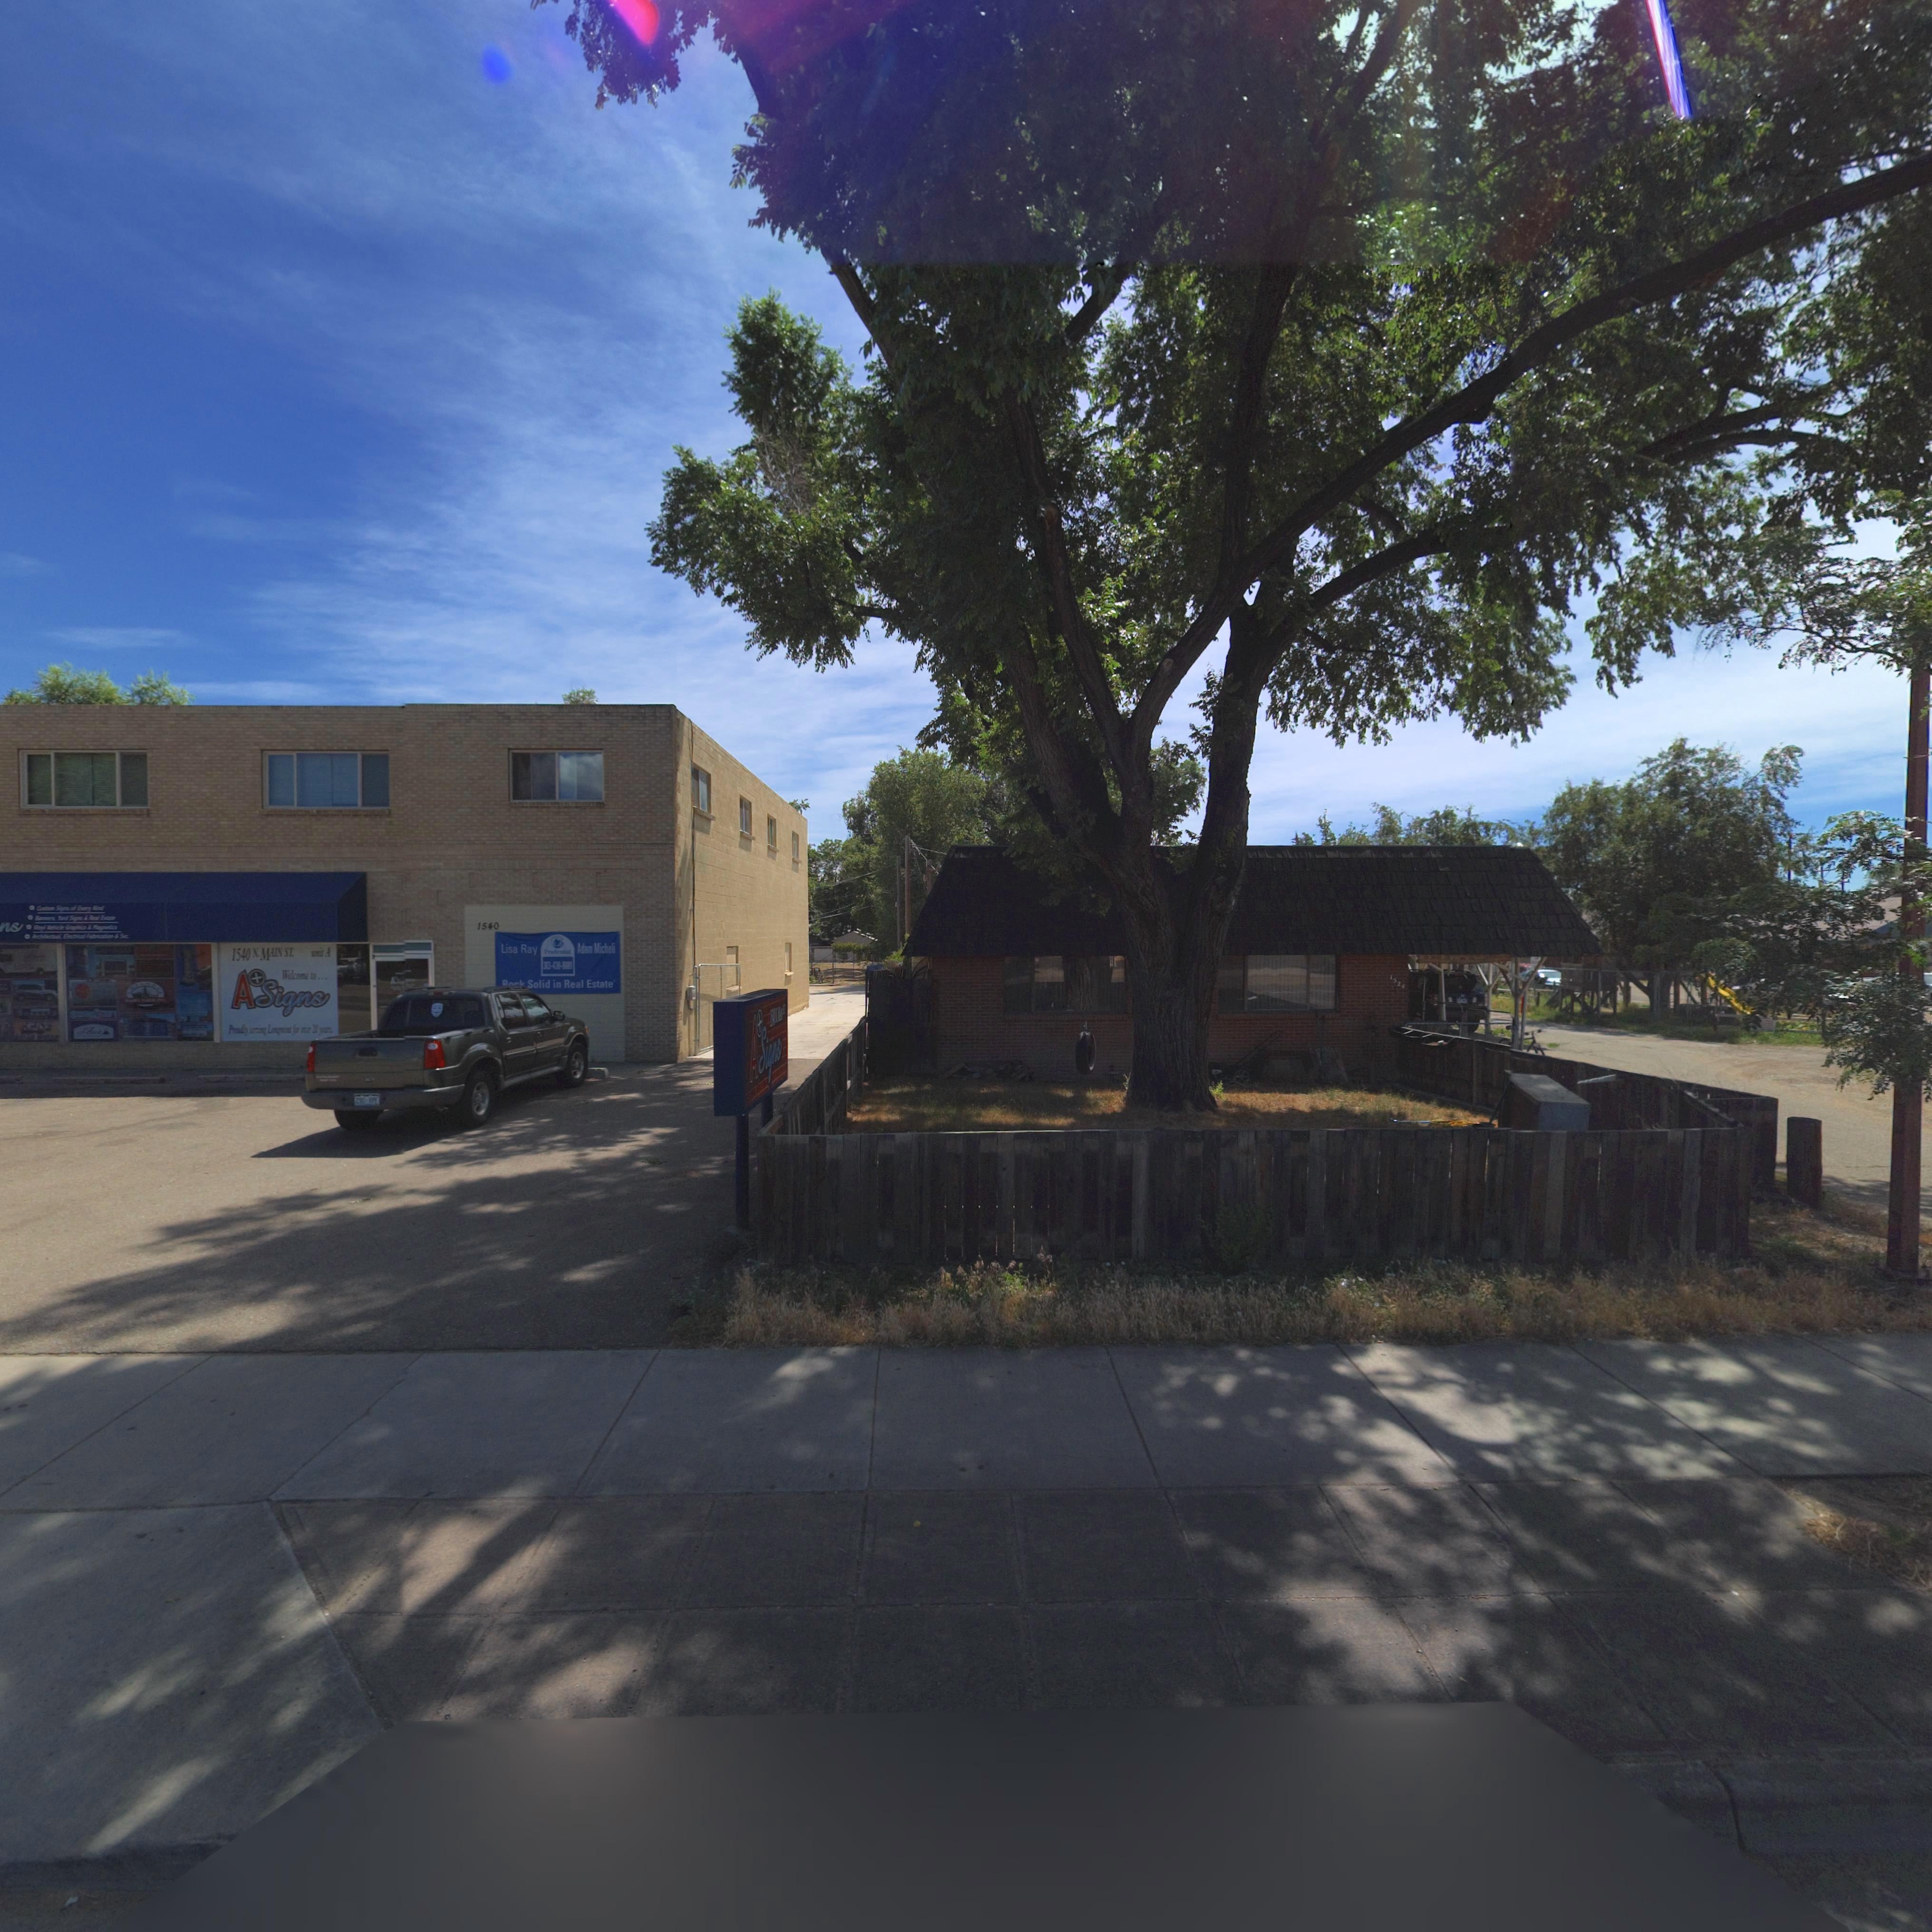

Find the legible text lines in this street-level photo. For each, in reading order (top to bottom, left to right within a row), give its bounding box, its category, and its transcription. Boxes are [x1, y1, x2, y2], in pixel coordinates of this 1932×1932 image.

[0, 922, 23, 932] BusinessName: ns
[477, 922, 499, 930] StreetNumber: 1540
[231, 947, 251, 961] StreetNumber: 1540
[252, 947, 295, 961] StreetName: N. MAIN ST.
[310, 947, 330, 957] SecondaryUnitDesignator: **it A
[1389, 973, 1406, 990] StreetNumber: 1524
[230, 967, 331, 1017] BusinessName: A*Signs
[748, 1008, 783, 1085] BusinessName: A*Signs